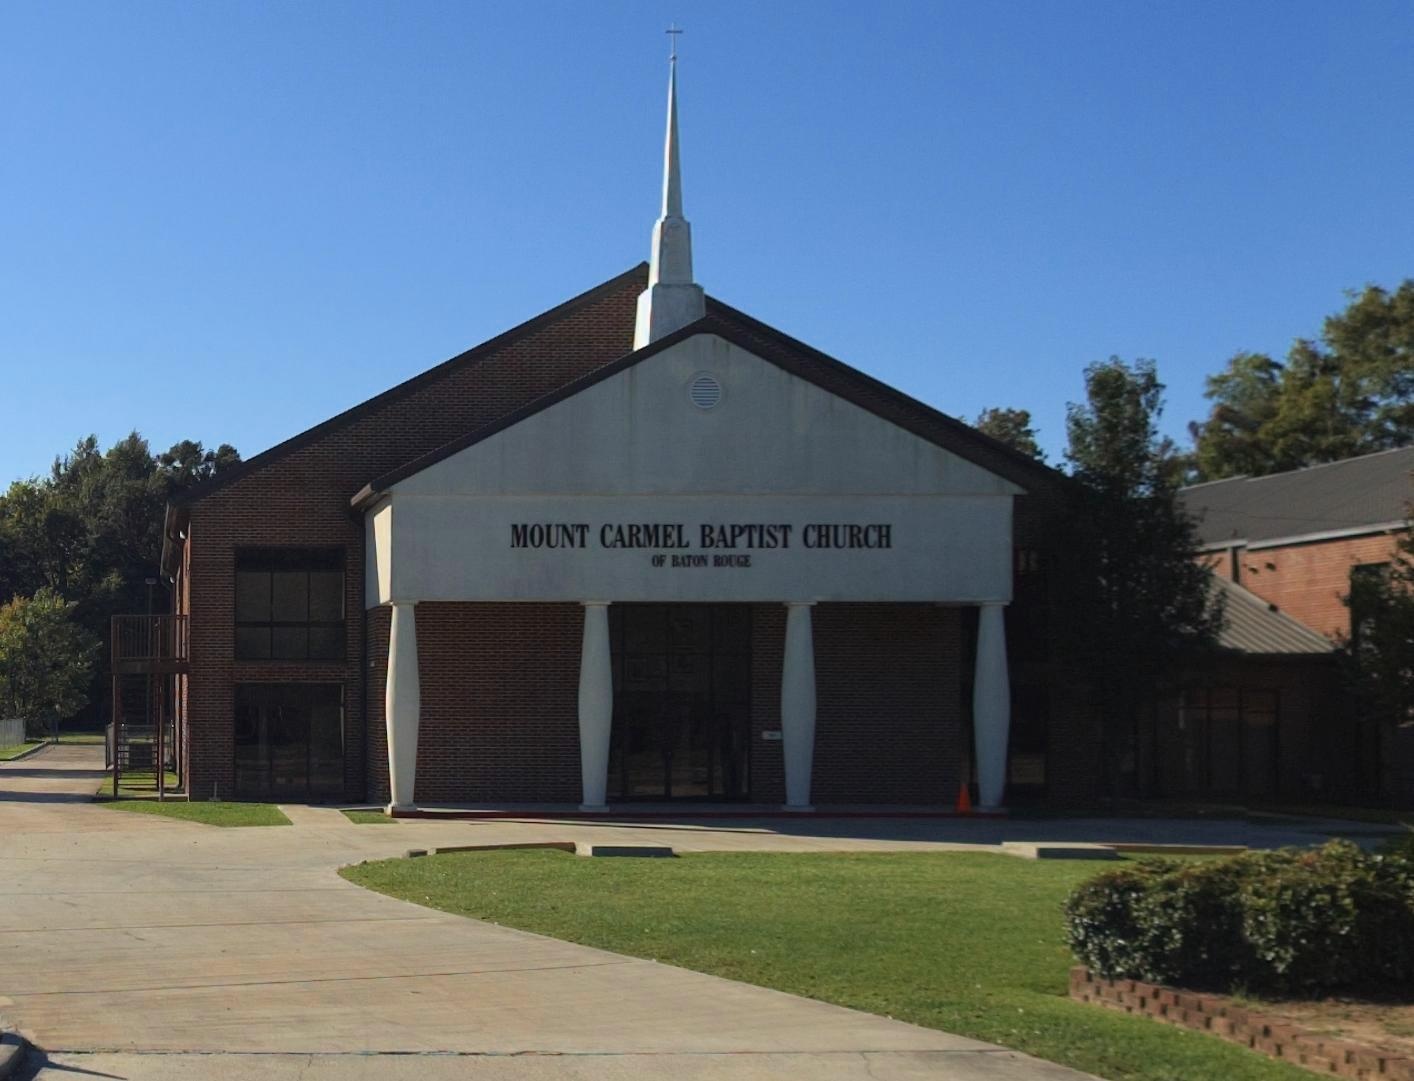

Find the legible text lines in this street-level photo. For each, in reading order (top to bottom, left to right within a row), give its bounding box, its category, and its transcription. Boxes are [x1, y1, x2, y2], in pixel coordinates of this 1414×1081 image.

[508, 521, 896, 551] BusinessName: MOUNT CARMEL BAPTIST CHURCH
[650, 552, 754, 570] None: OF BATON ROUGE